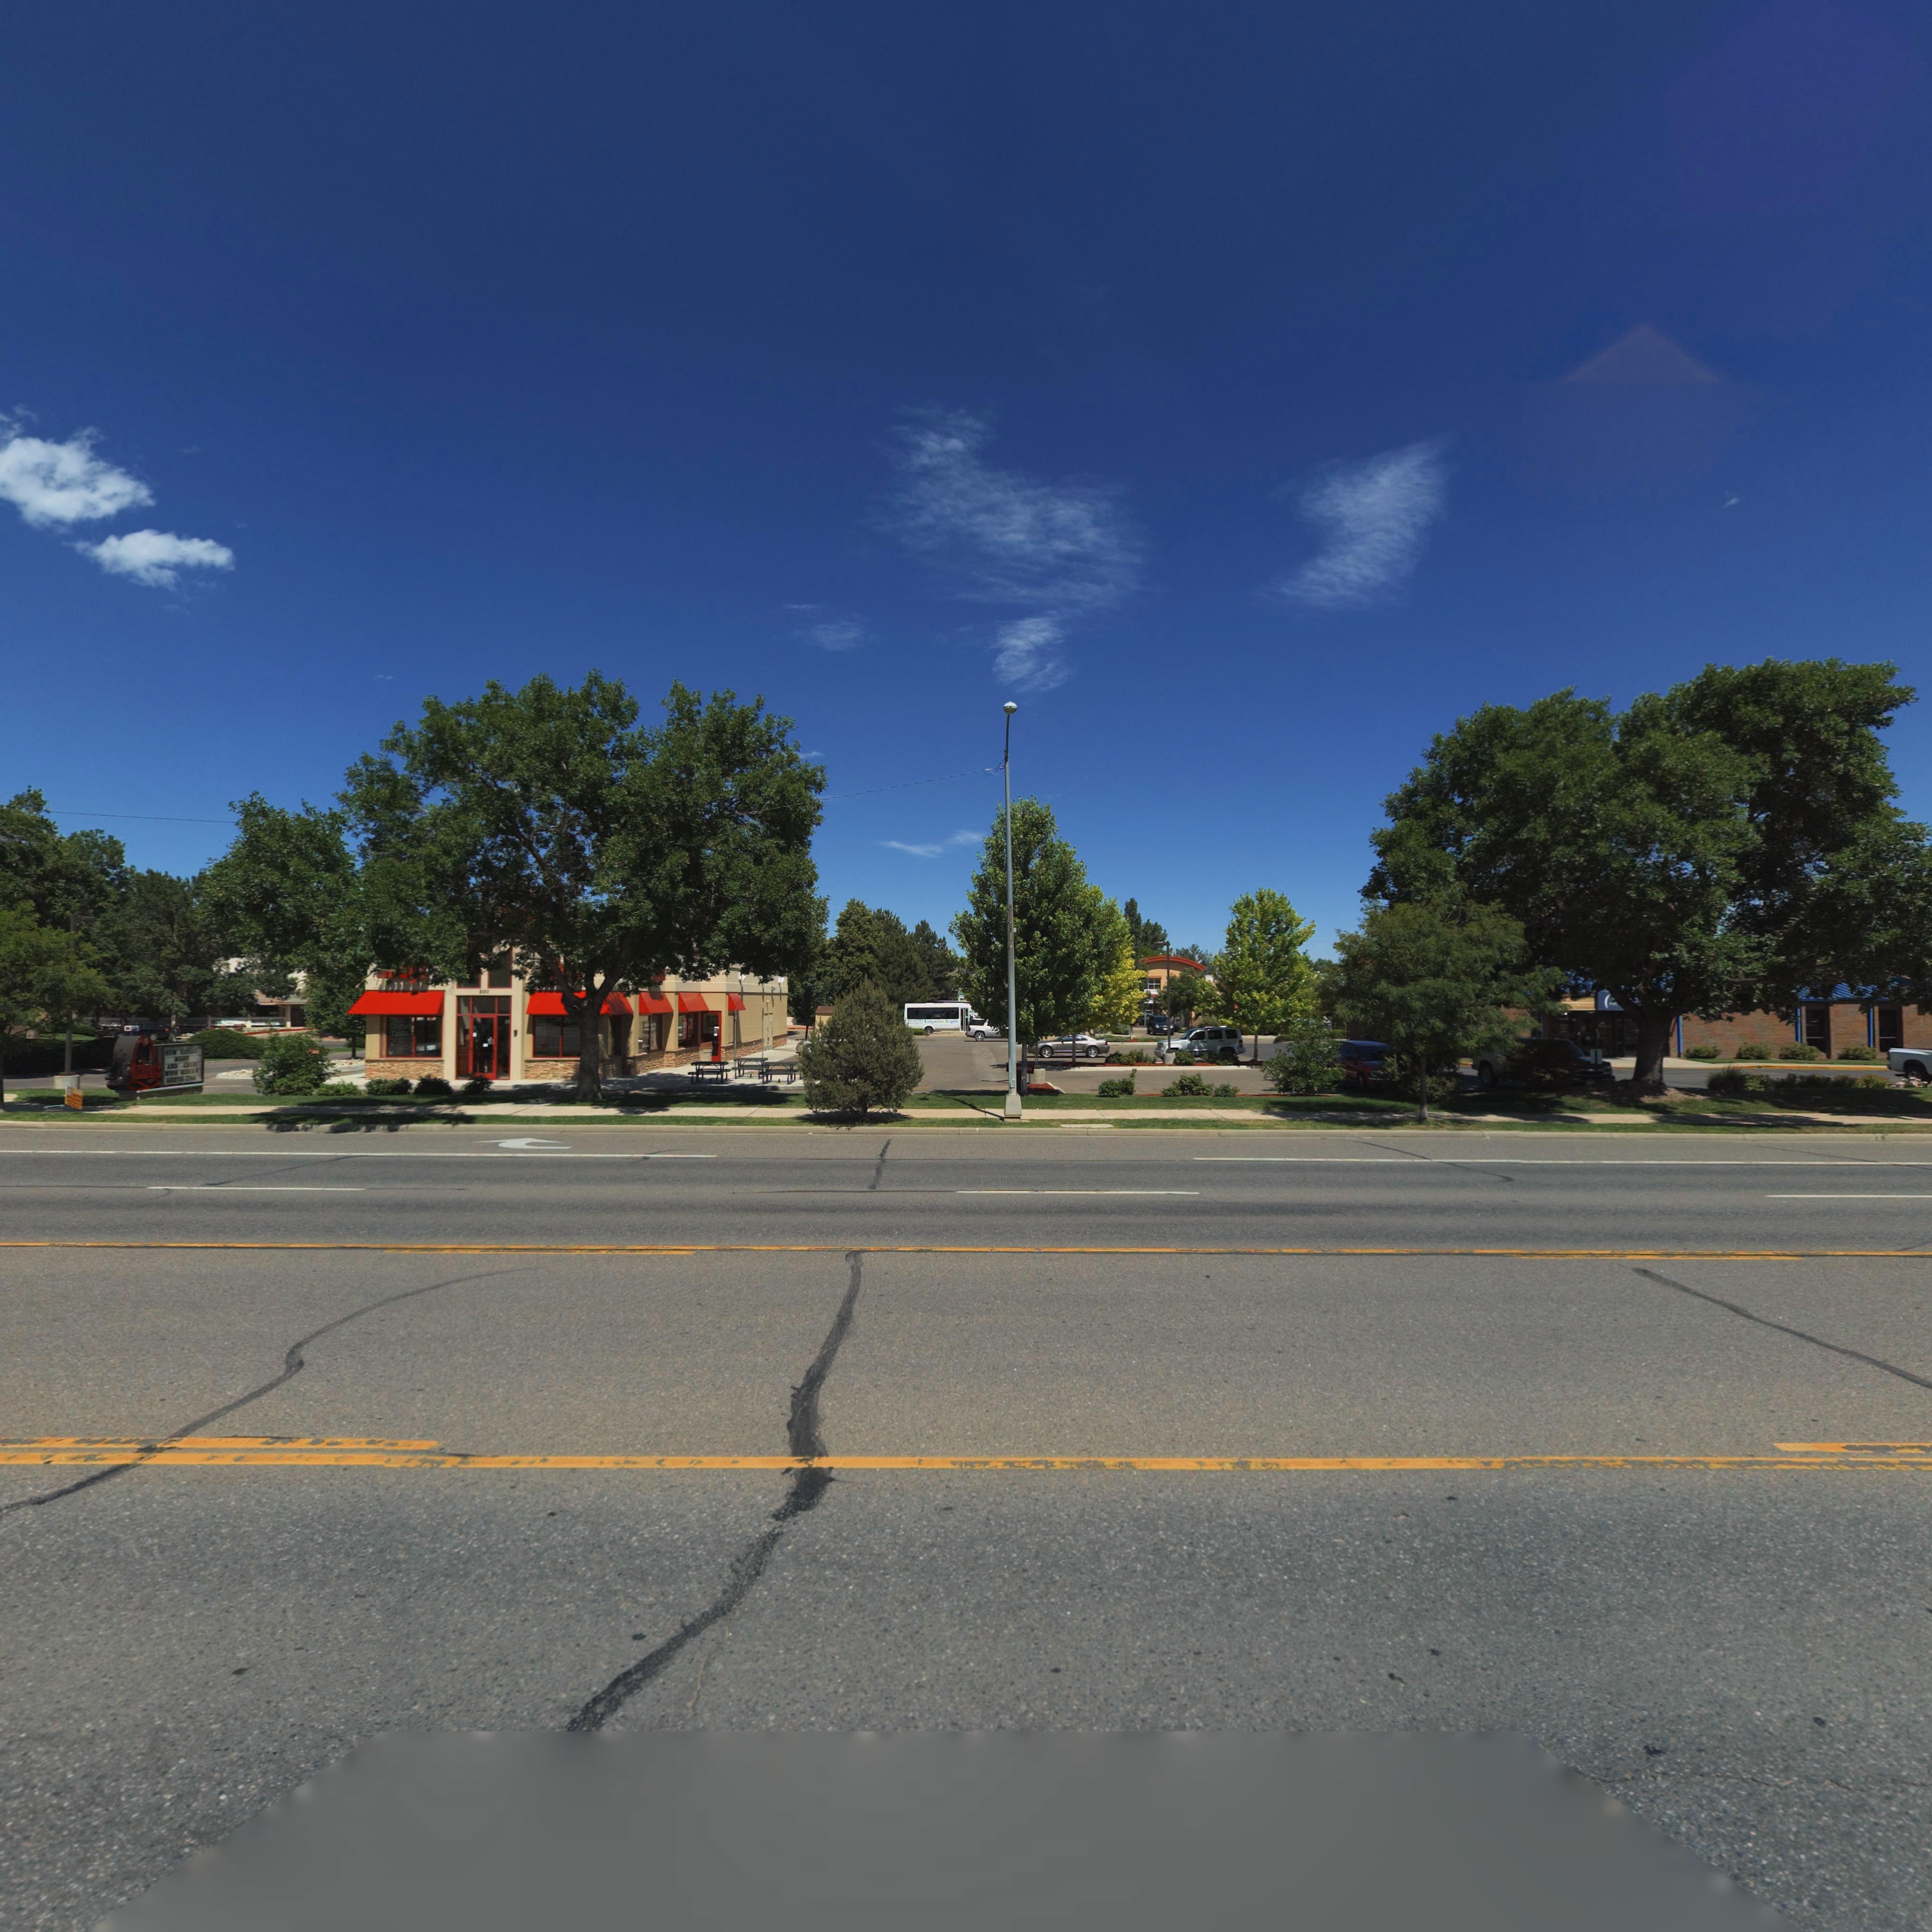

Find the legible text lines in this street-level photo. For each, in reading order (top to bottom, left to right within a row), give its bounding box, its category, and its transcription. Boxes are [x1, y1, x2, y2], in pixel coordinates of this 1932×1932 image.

[479, 989, 489, 994] StreetNumber: ***0
[126, 1059, 163, 1083] BusinessName: *rby's